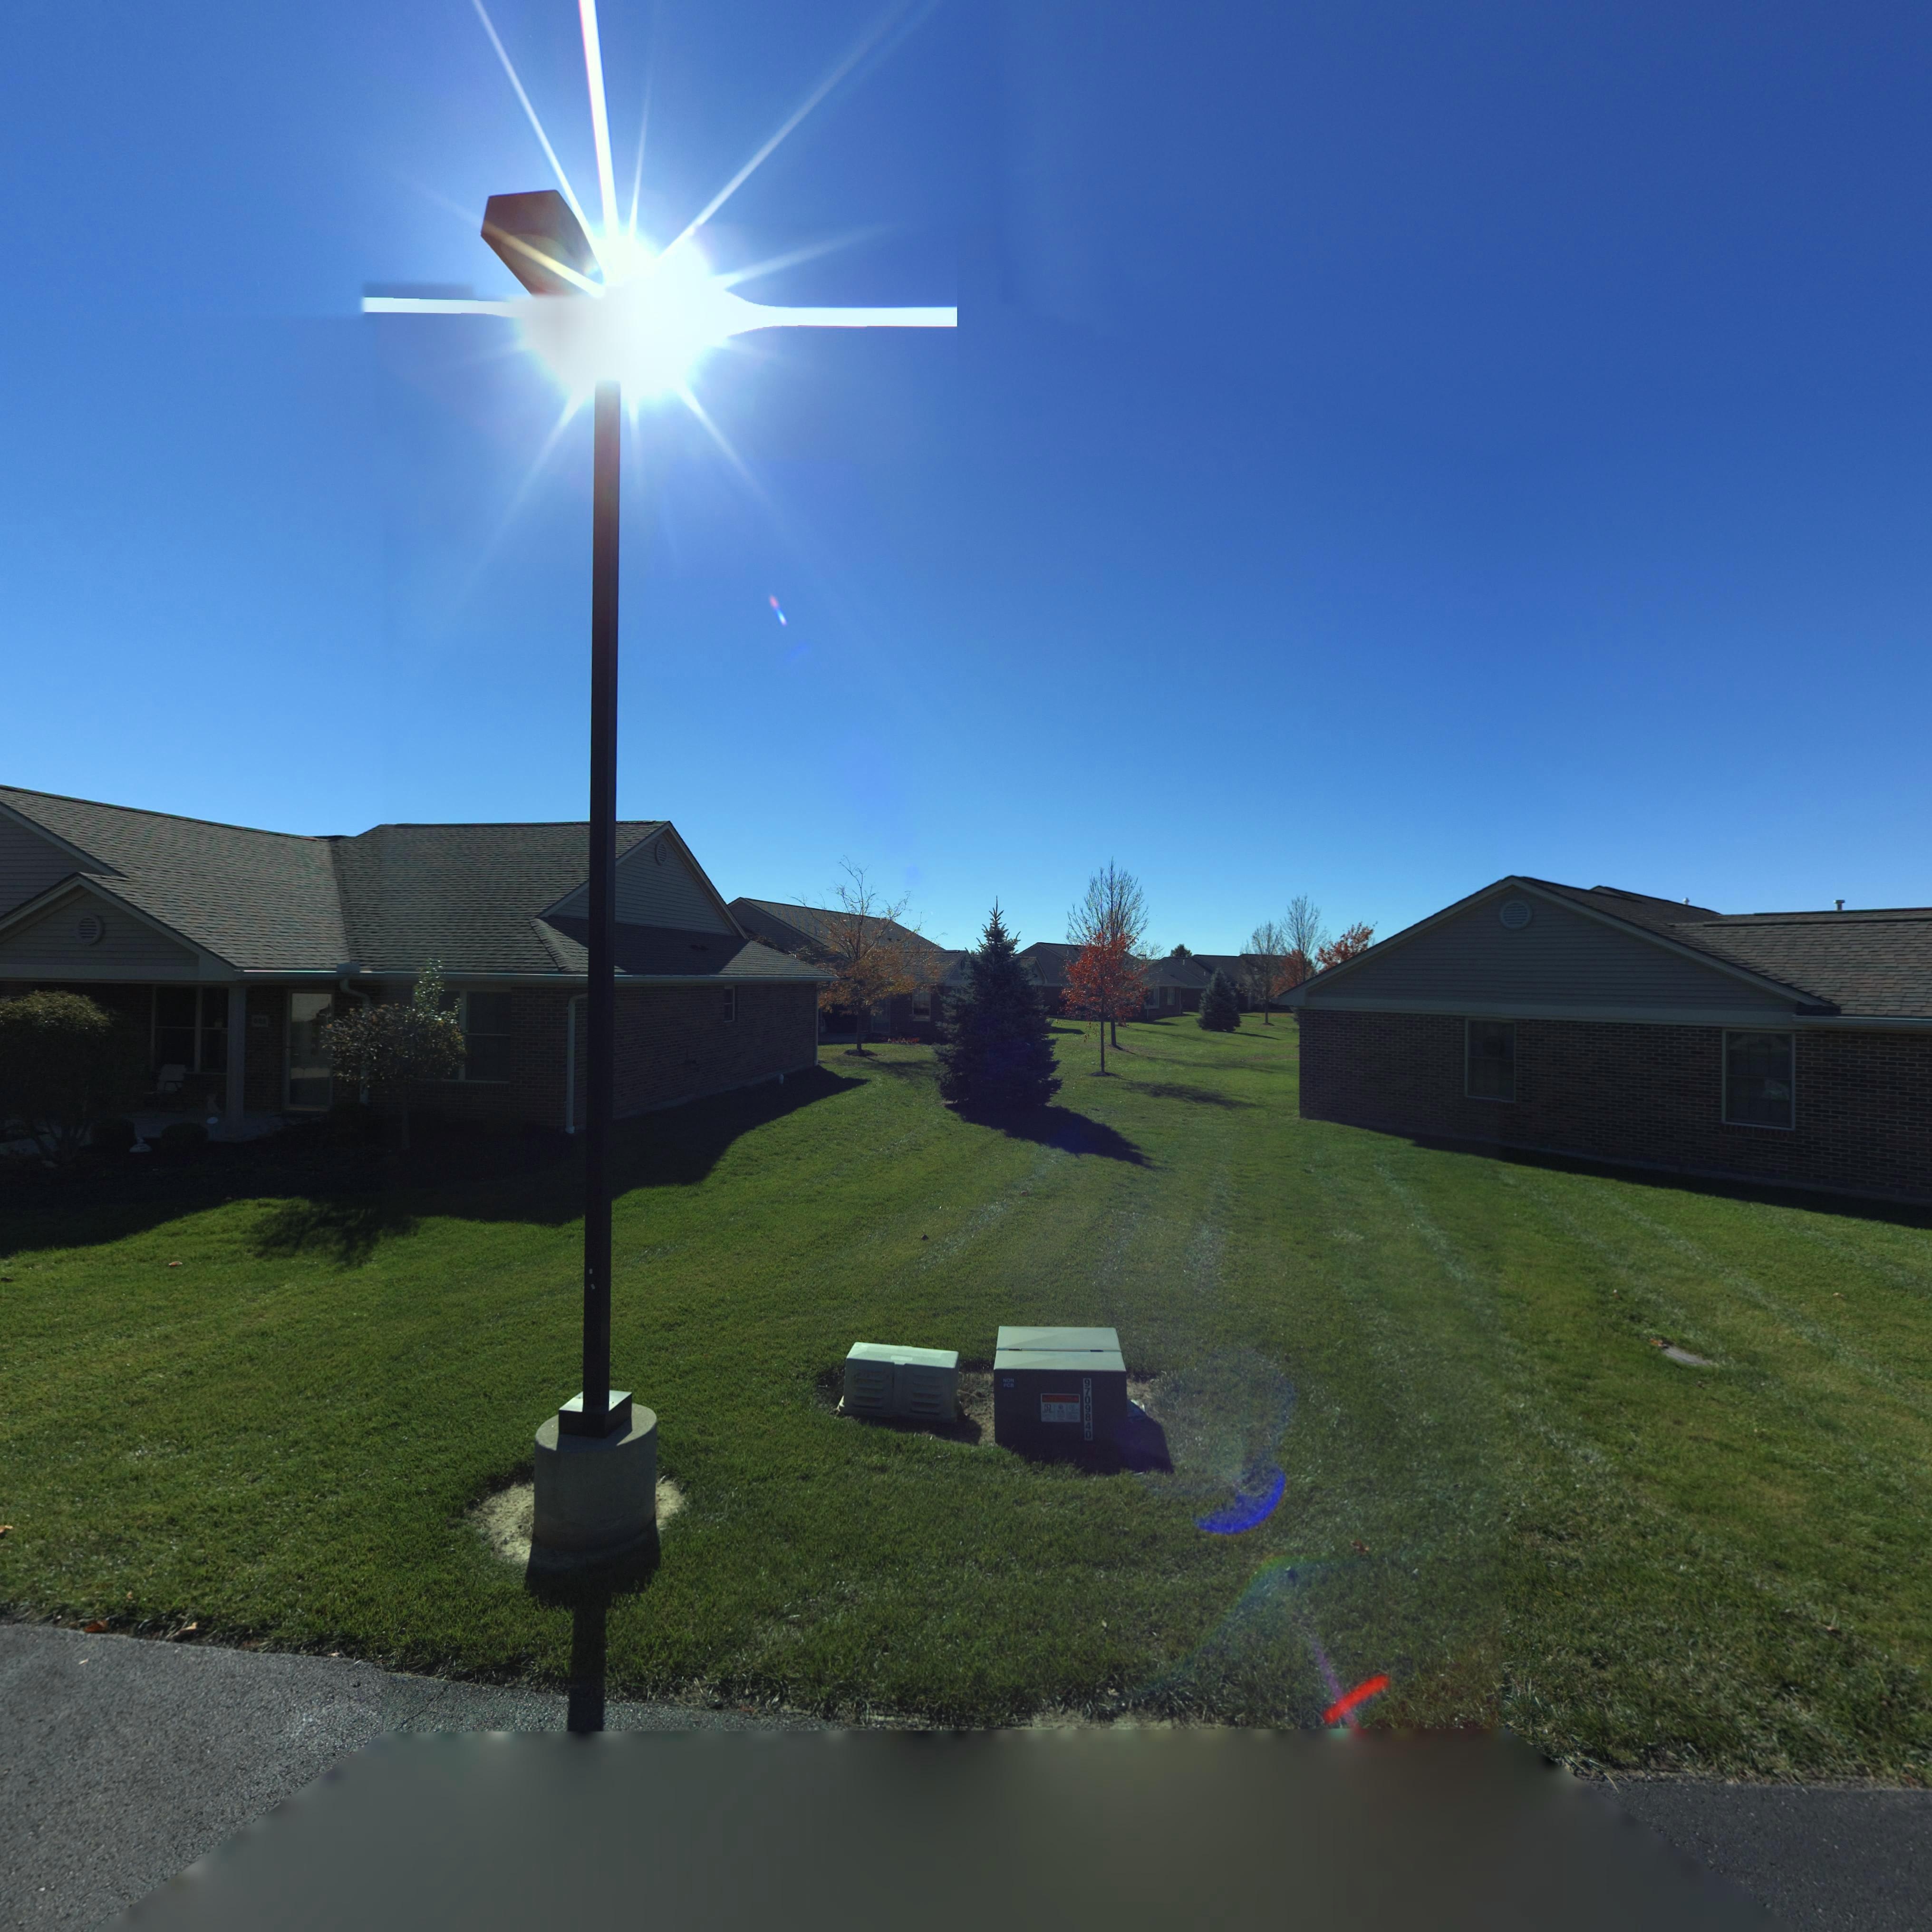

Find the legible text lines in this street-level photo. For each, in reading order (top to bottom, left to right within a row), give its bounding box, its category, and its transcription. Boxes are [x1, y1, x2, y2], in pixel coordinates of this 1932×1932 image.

[253, 1017, 266, 1024] StreetNumber: 82*
[1083, 1380, 1092, 1440] None: 9709840